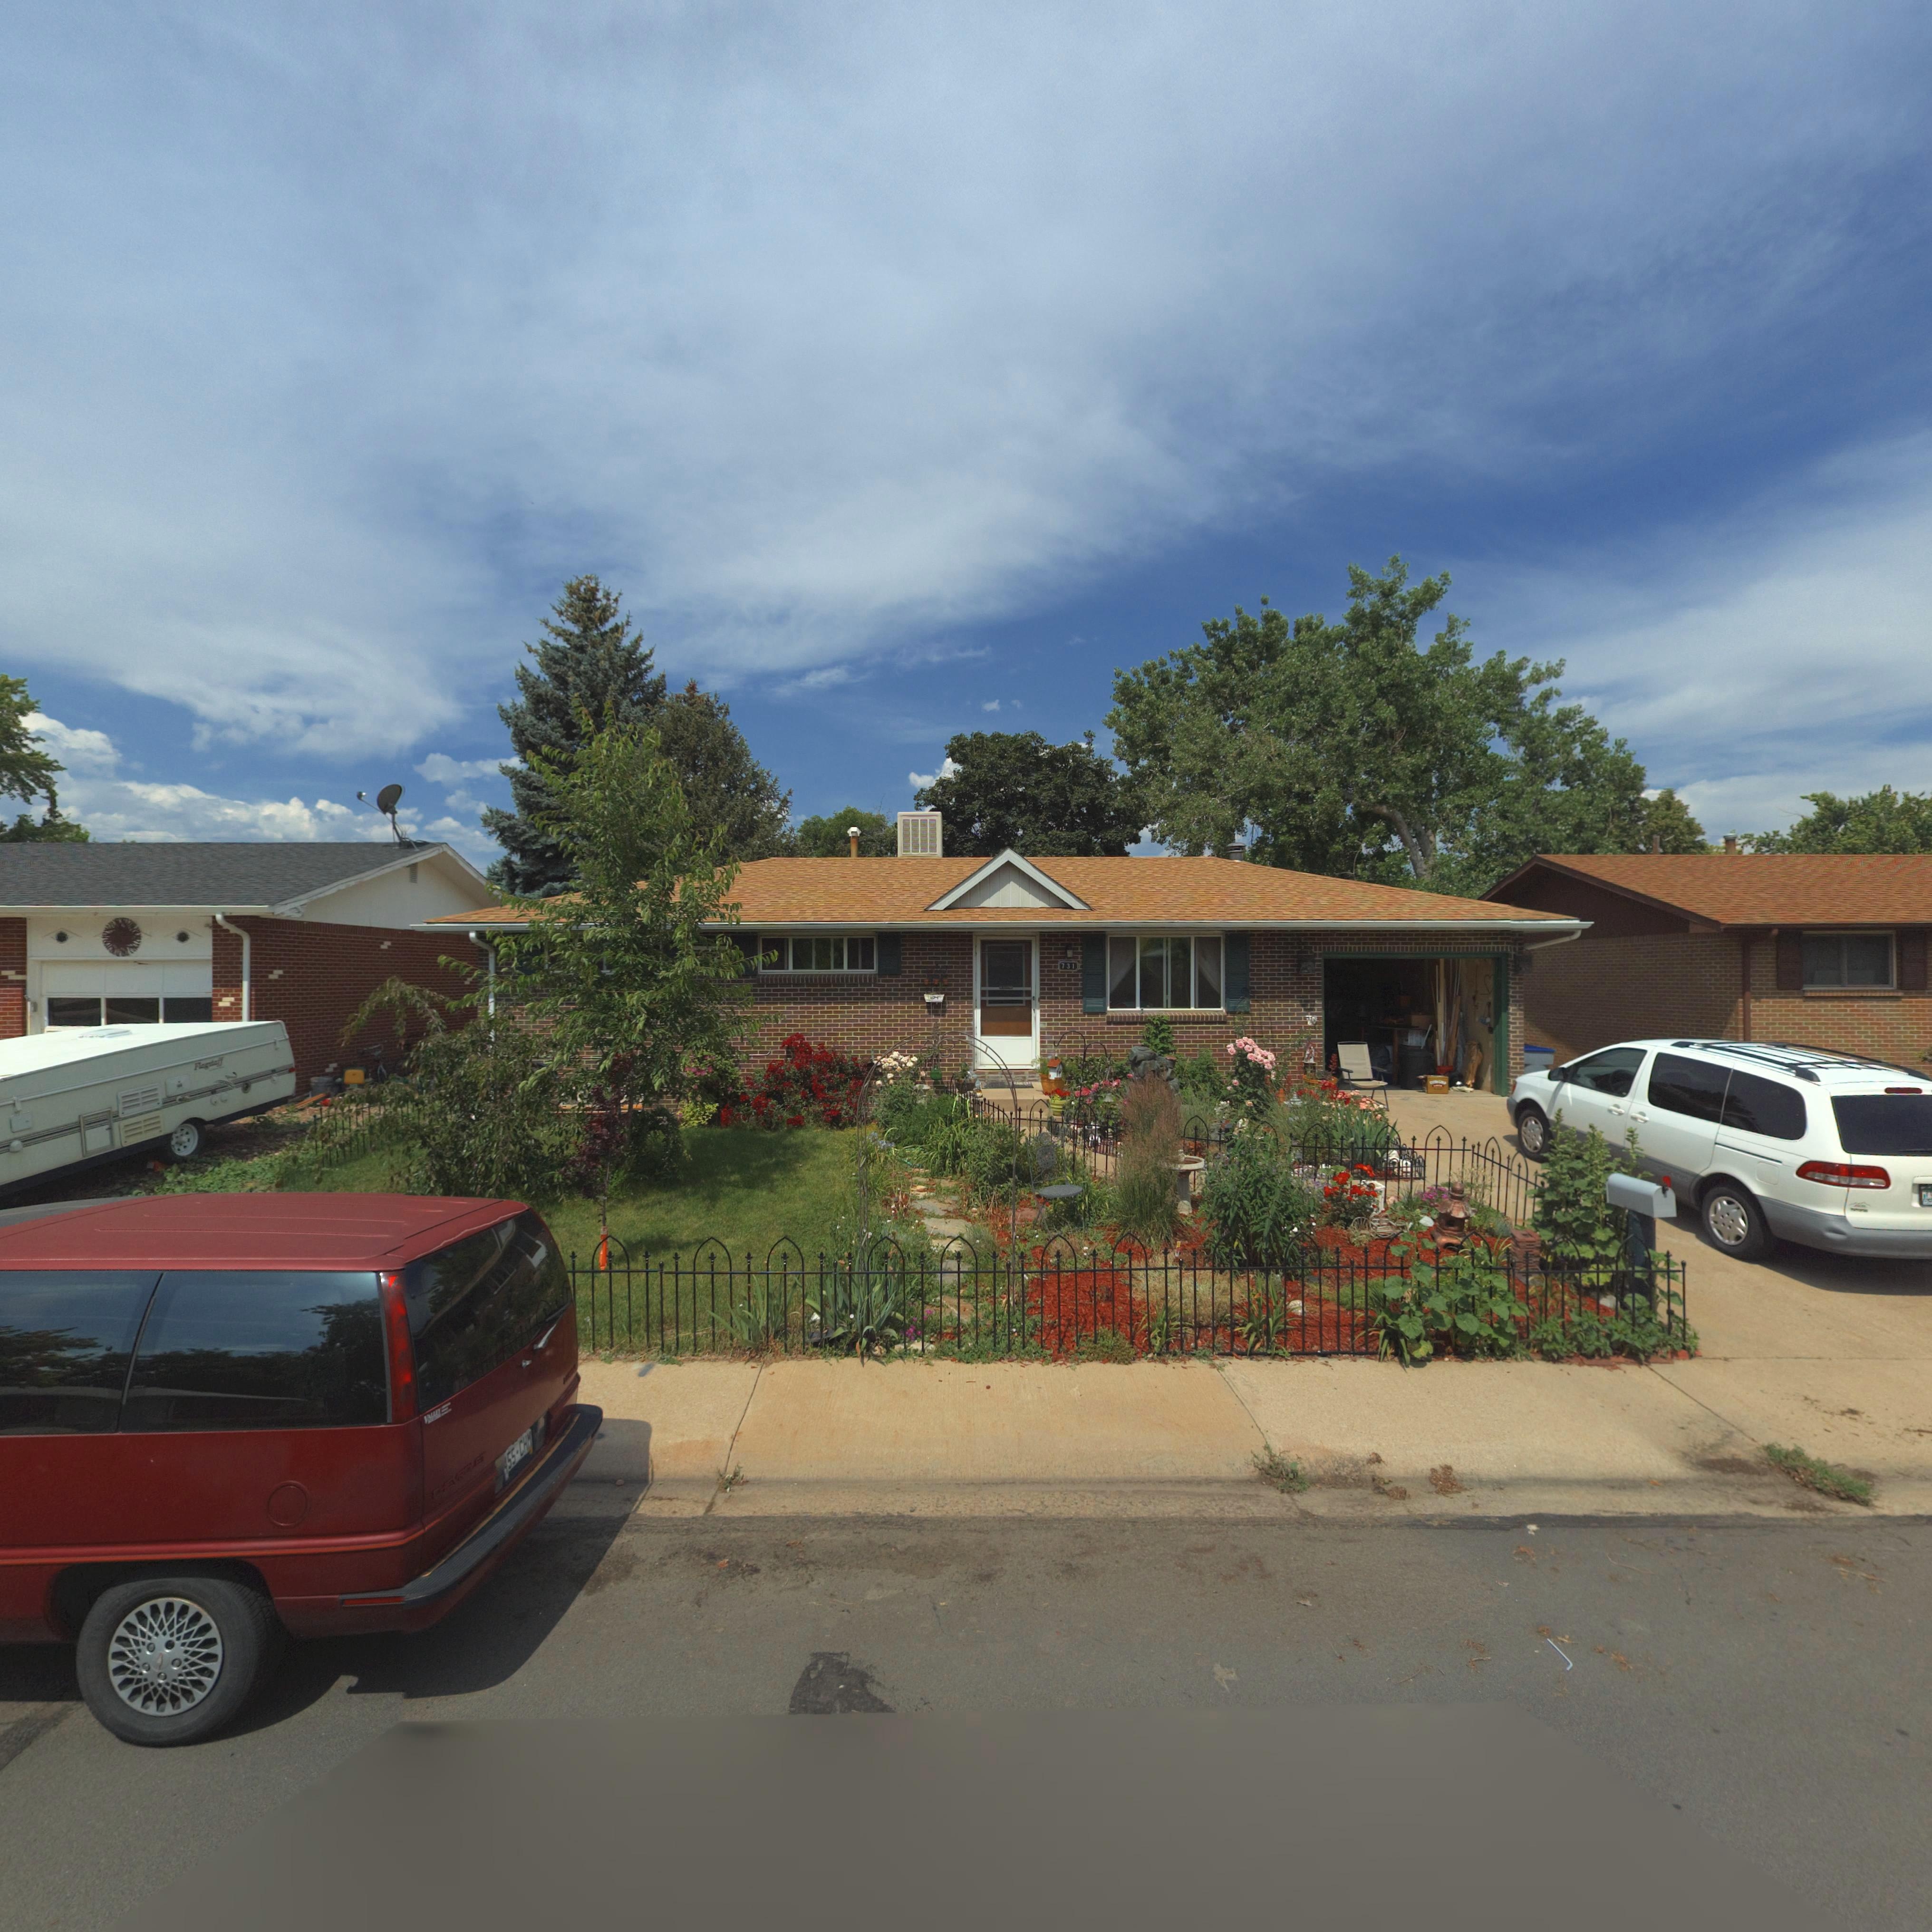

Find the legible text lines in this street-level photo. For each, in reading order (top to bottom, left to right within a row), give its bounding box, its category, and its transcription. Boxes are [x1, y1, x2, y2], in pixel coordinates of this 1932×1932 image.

[1060, 963, 1075, 969] StreetNumber: 731